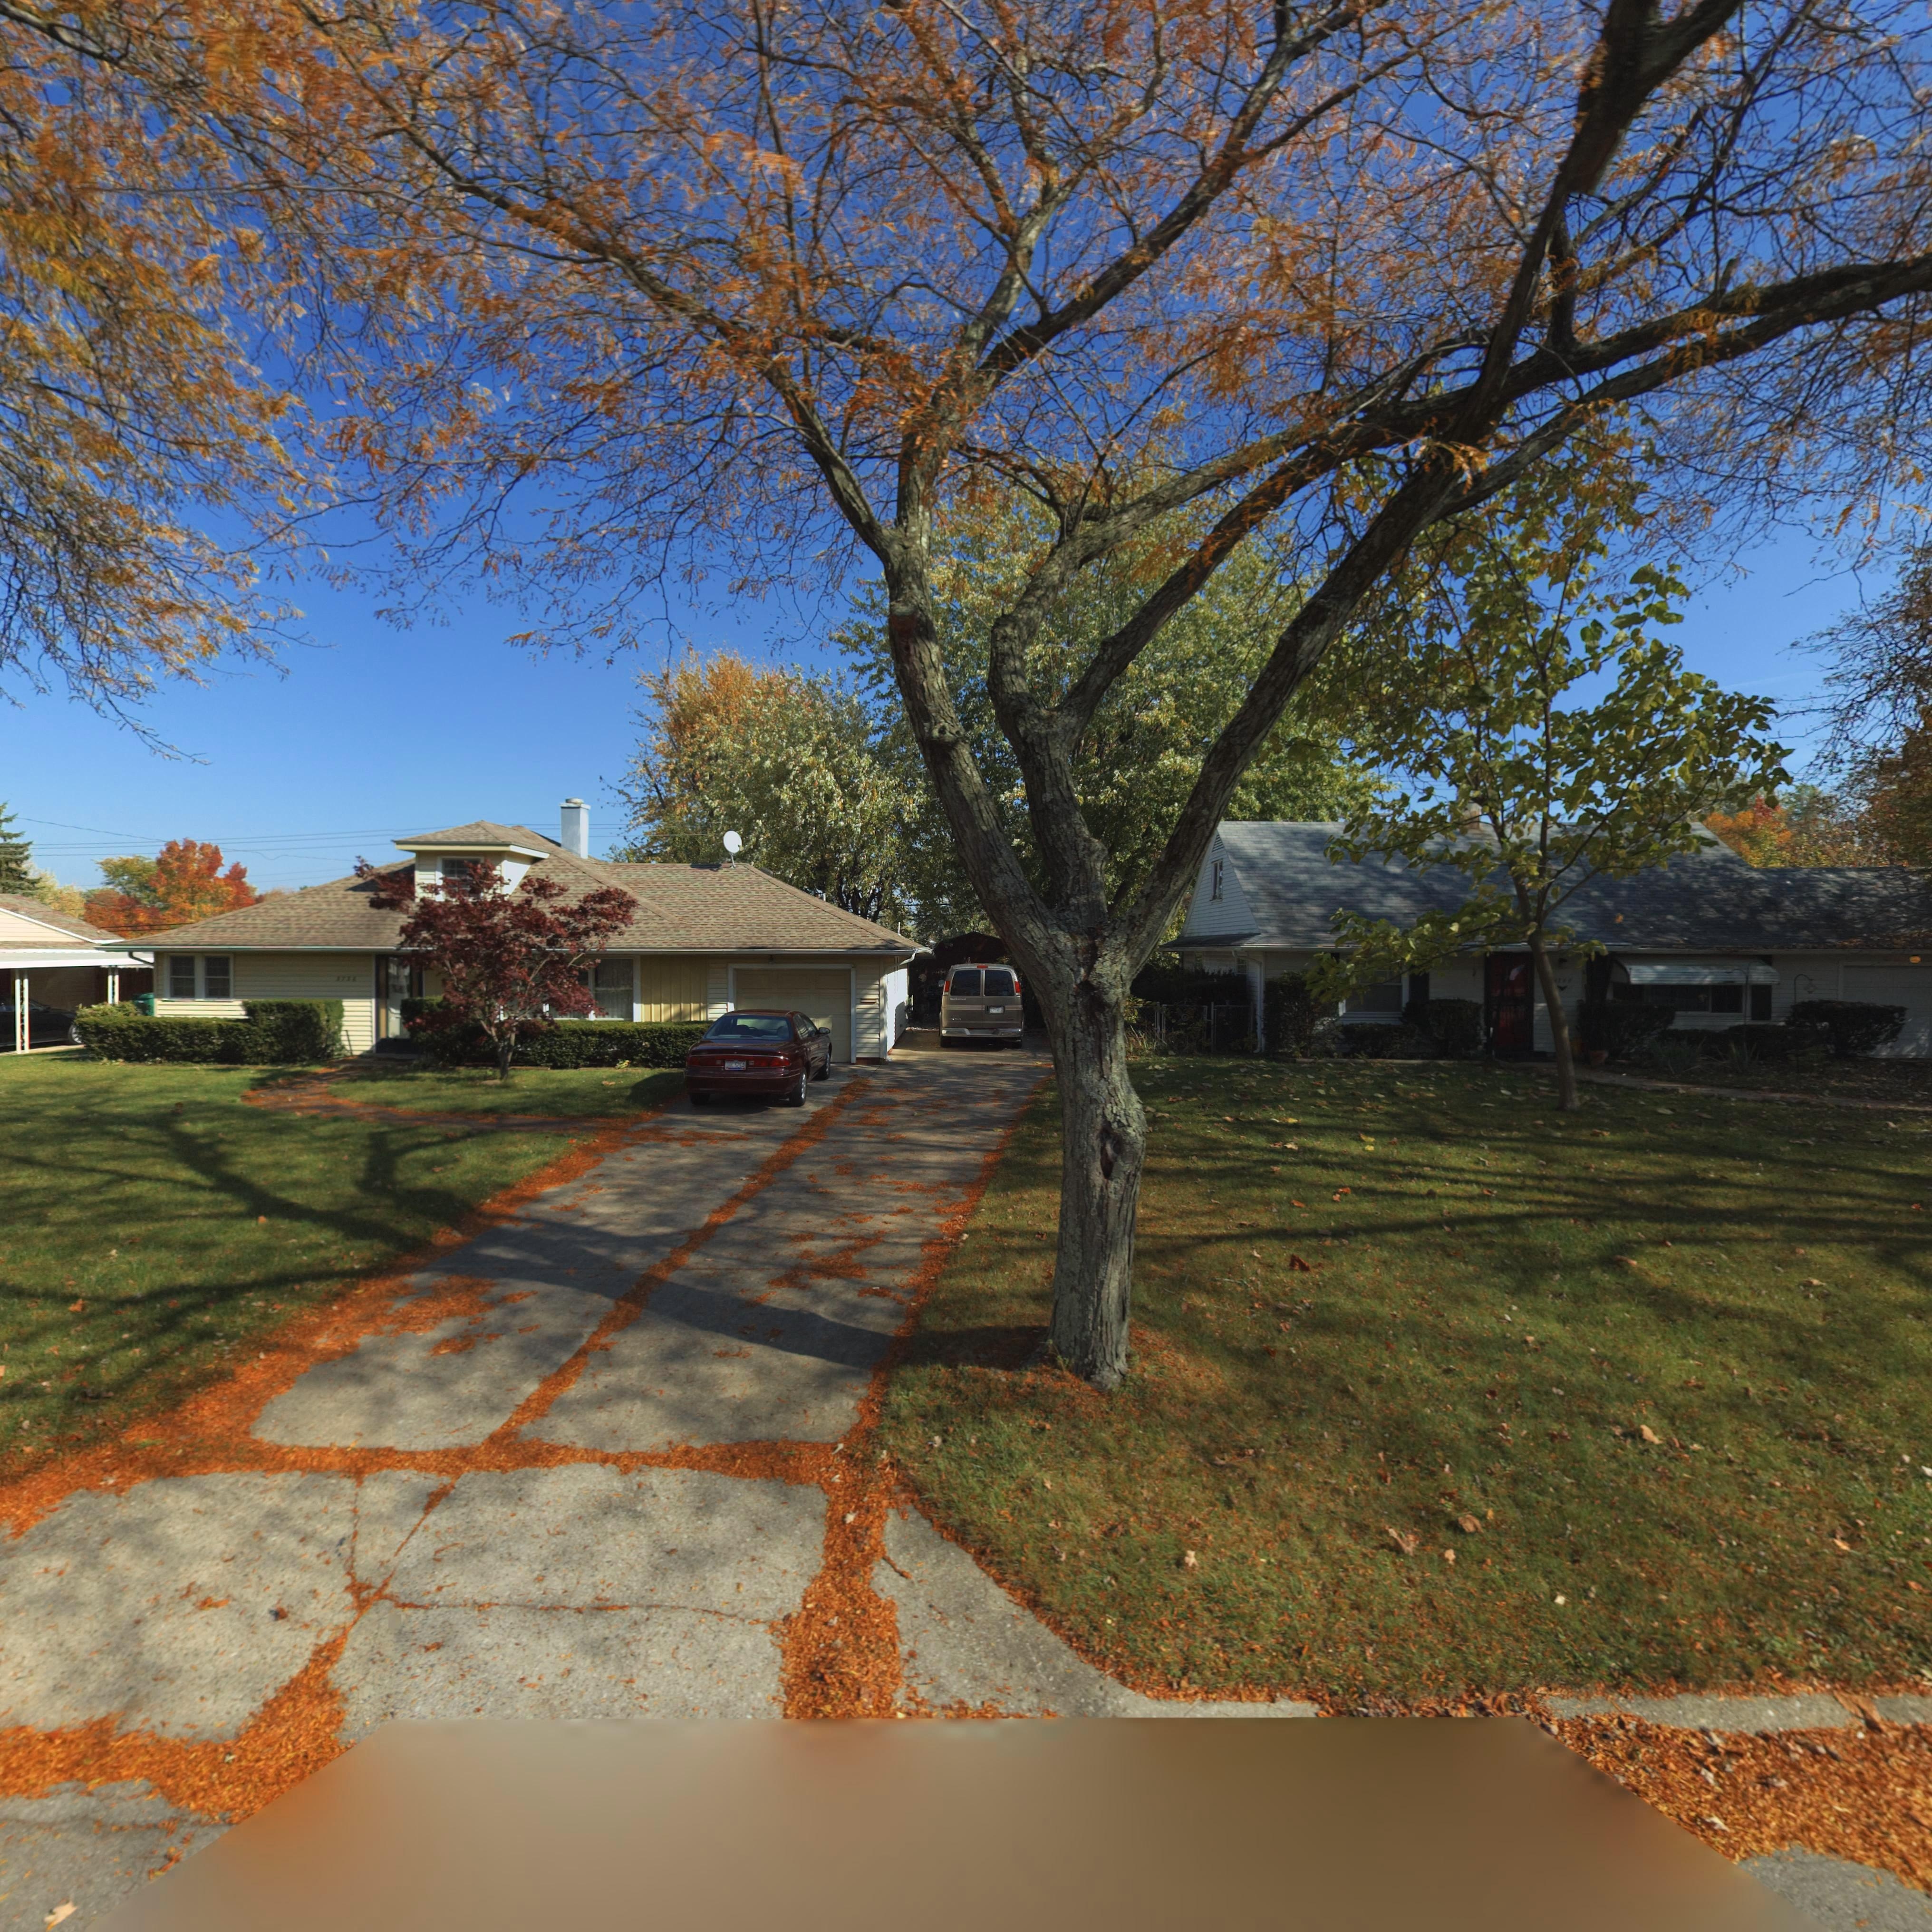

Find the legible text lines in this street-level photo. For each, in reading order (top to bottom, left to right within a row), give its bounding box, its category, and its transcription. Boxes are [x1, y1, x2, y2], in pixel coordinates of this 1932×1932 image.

[734, 1062, 744, 1068] None: 52**